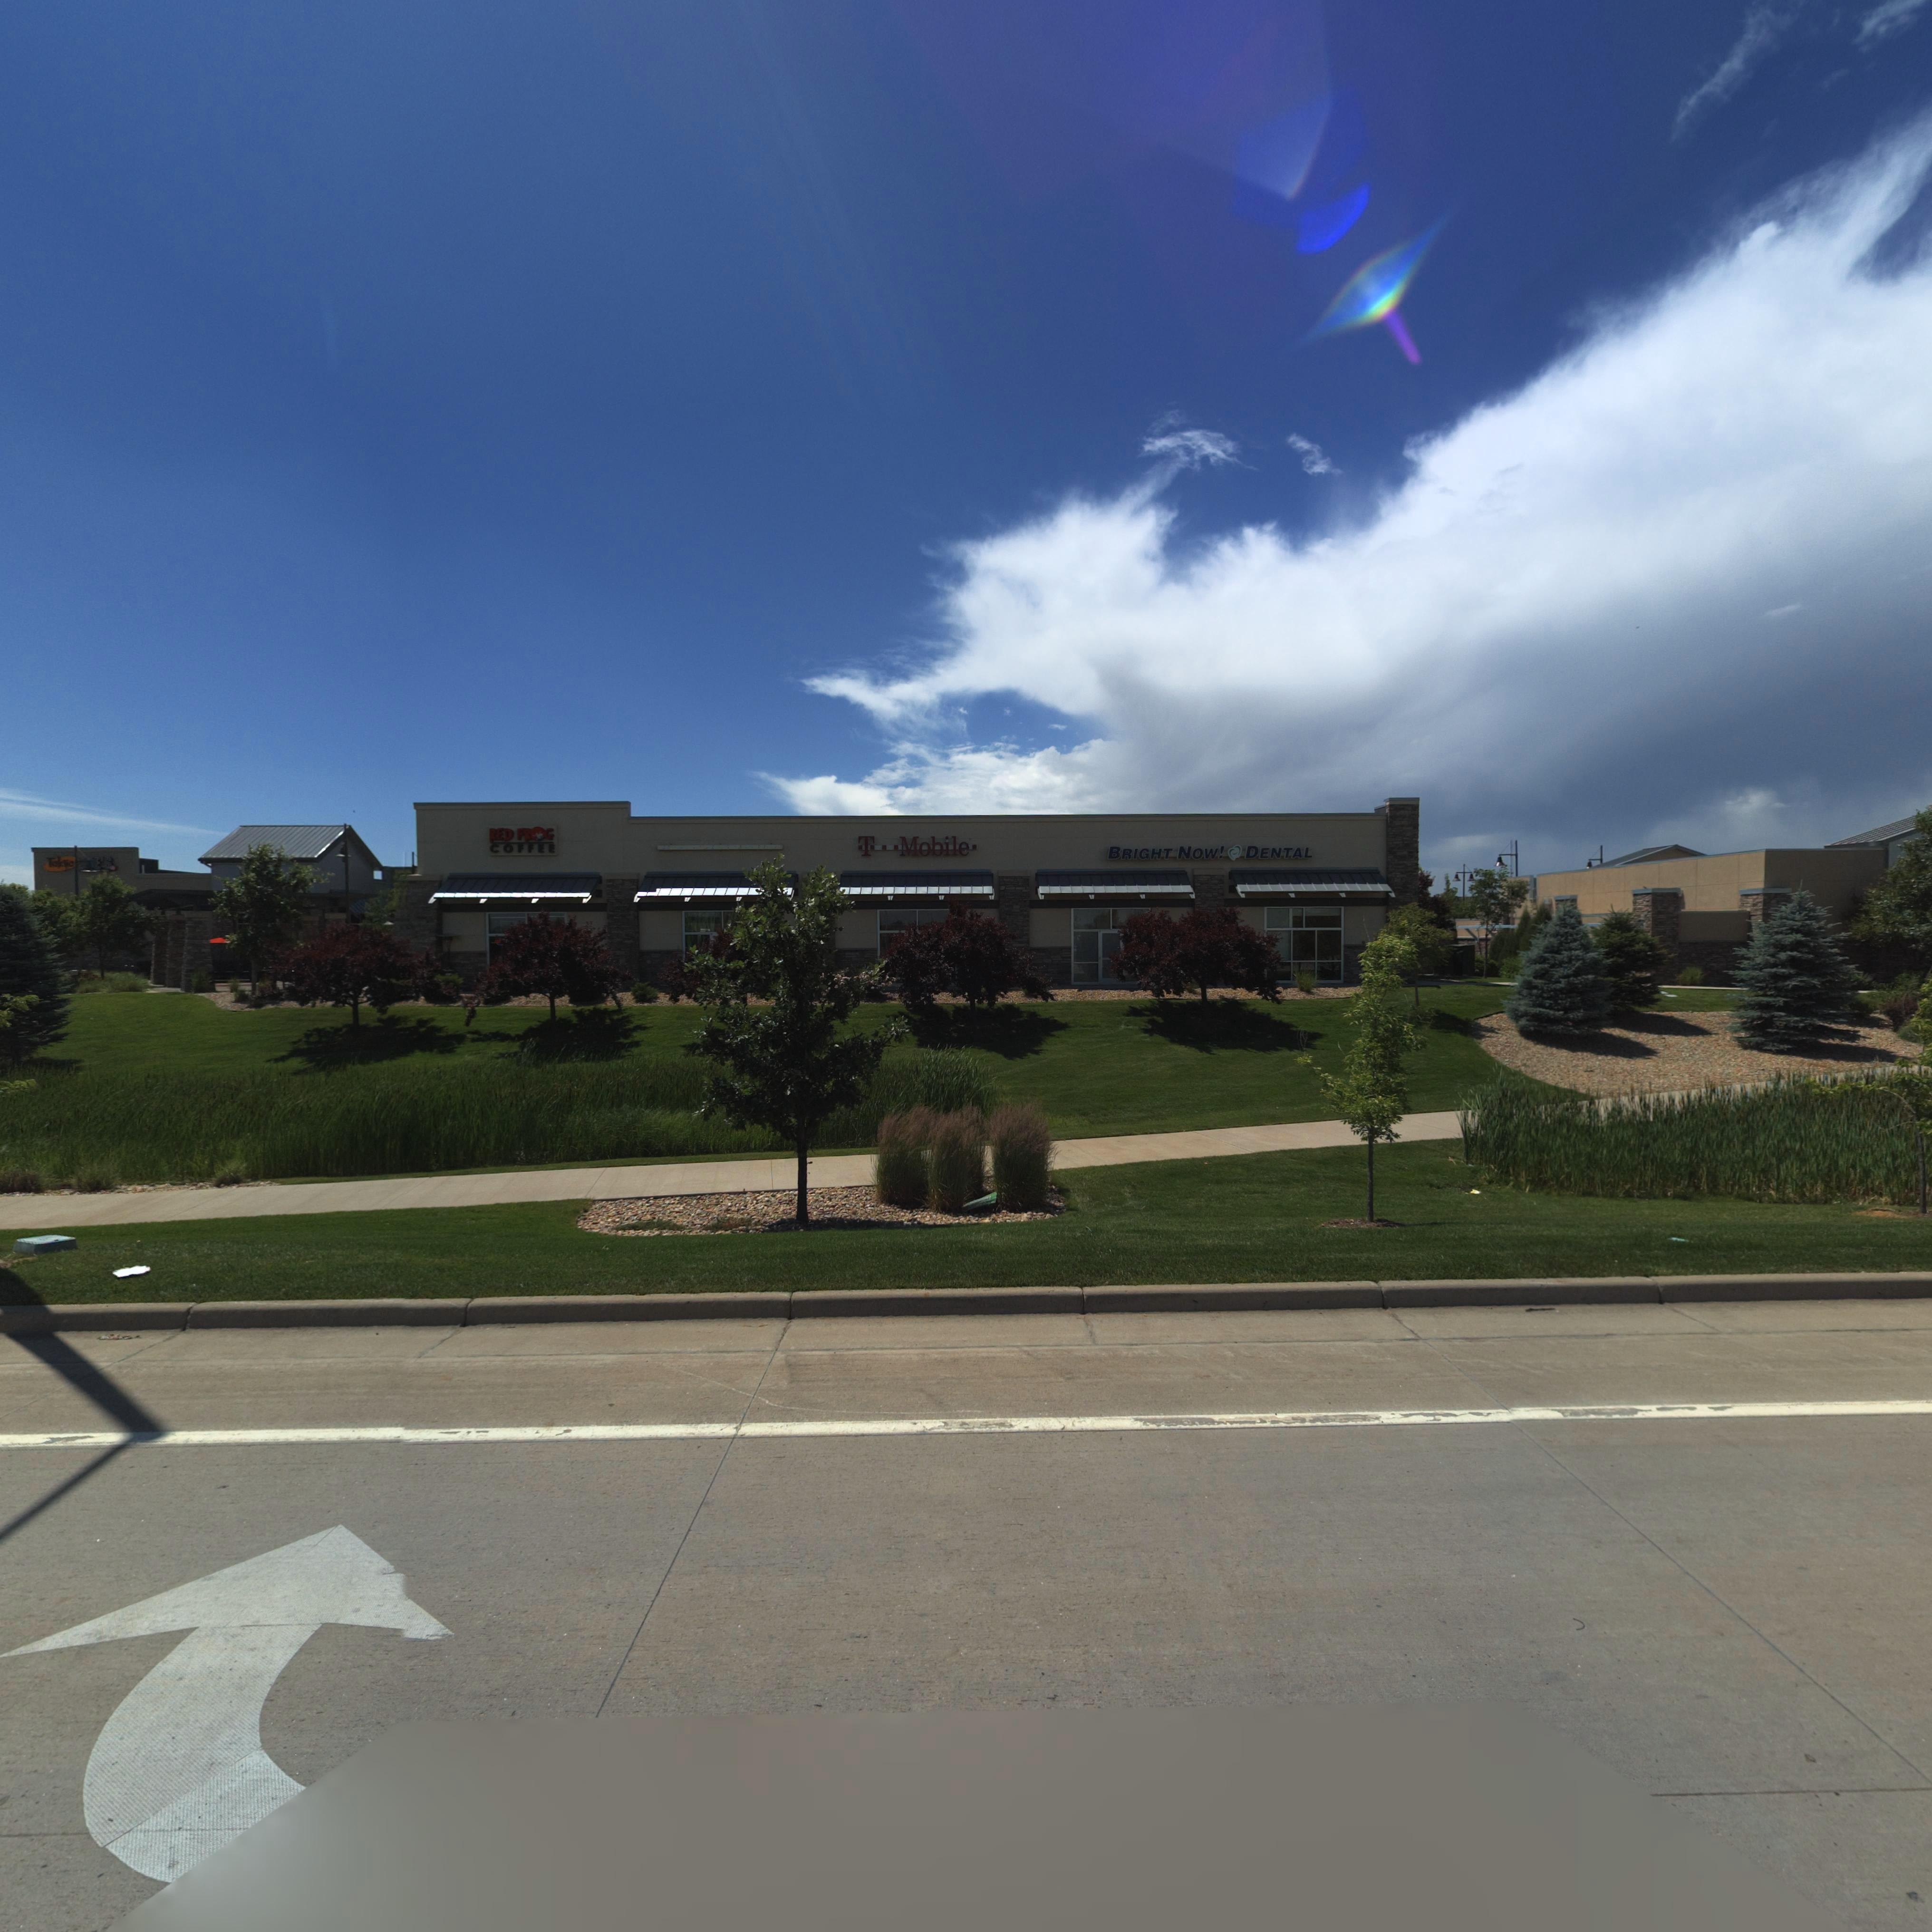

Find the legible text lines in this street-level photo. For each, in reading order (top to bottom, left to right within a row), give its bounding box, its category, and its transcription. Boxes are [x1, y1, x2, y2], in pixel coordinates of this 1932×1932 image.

[488, 826, 555, 843] BusinessName: RED FR*G
[488, 842, 556, 853] BusinessName: COFFEE
[856, 834, 971, 857] BusinessName: *T***Mobile
[1106, 844, 1314, 861] BusinessName: BRIGHT NOW! * DENTAL
[45, 855, 113, 872] BusinessName: Tok*o * **E*S